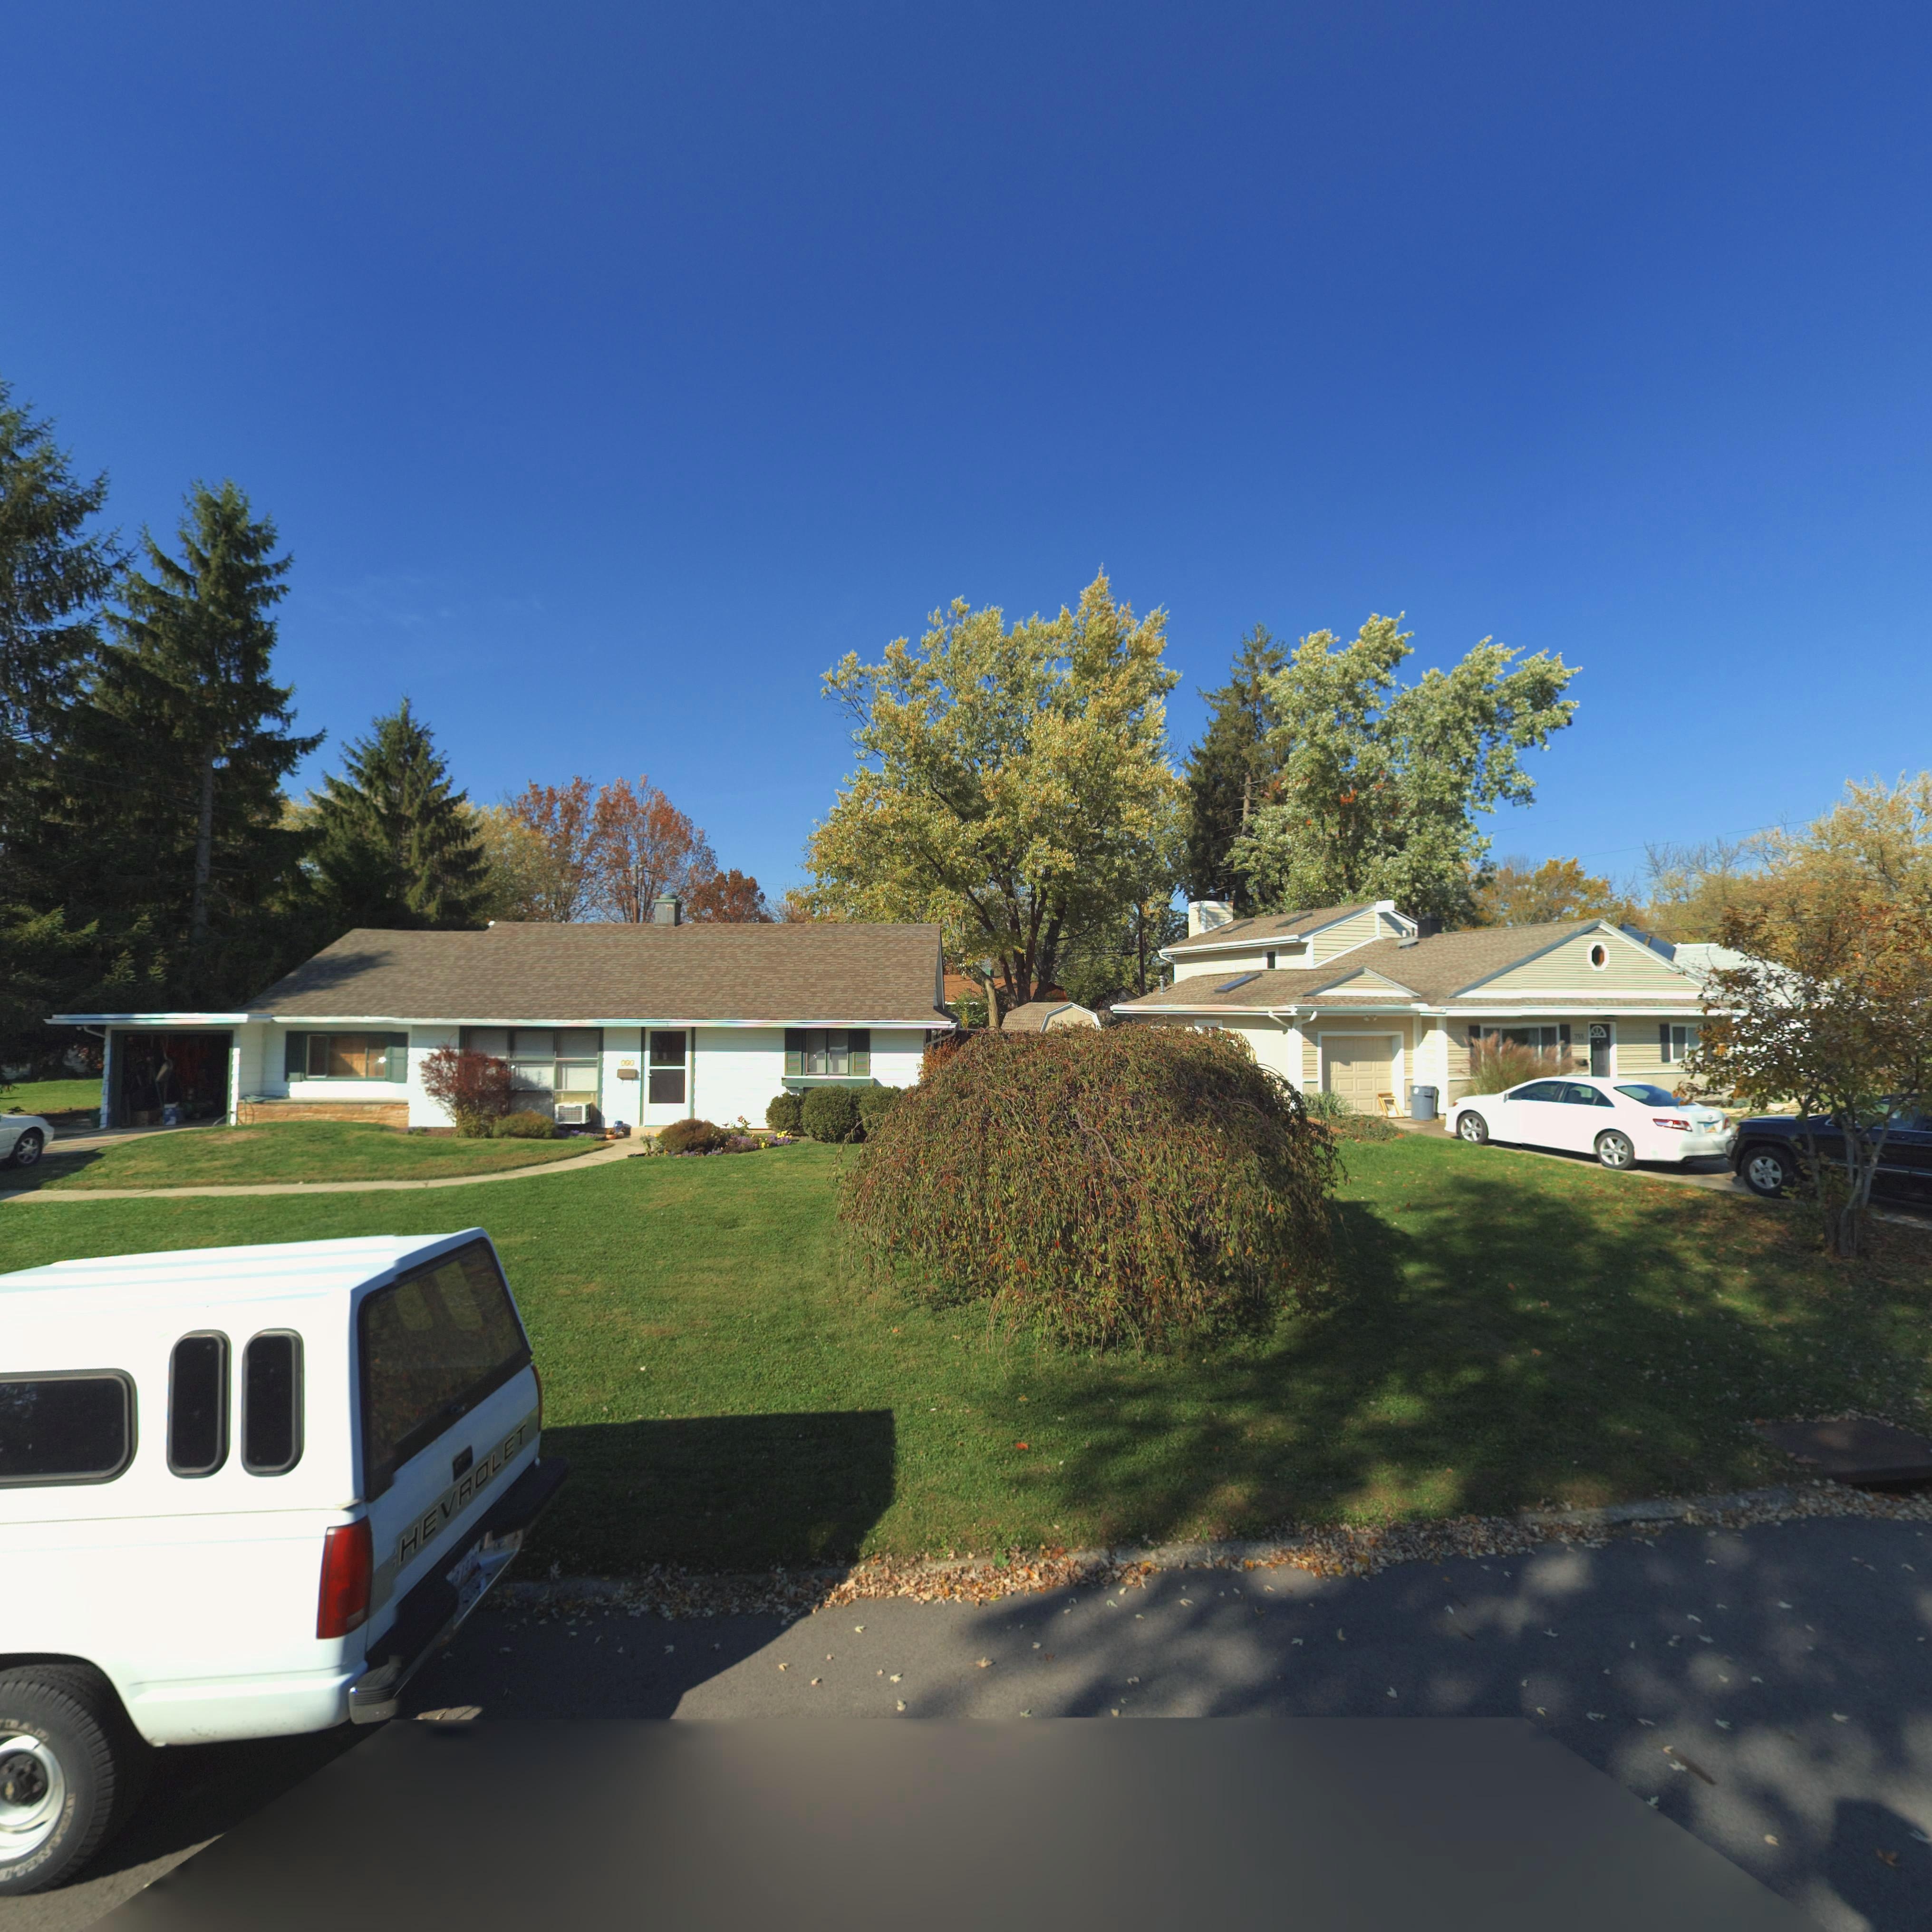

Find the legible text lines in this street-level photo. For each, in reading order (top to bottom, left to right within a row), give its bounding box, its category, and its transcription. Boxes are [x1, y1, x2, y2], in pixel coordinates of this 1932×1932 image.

[396, 1418, 529, 1569] None: HEVROLET